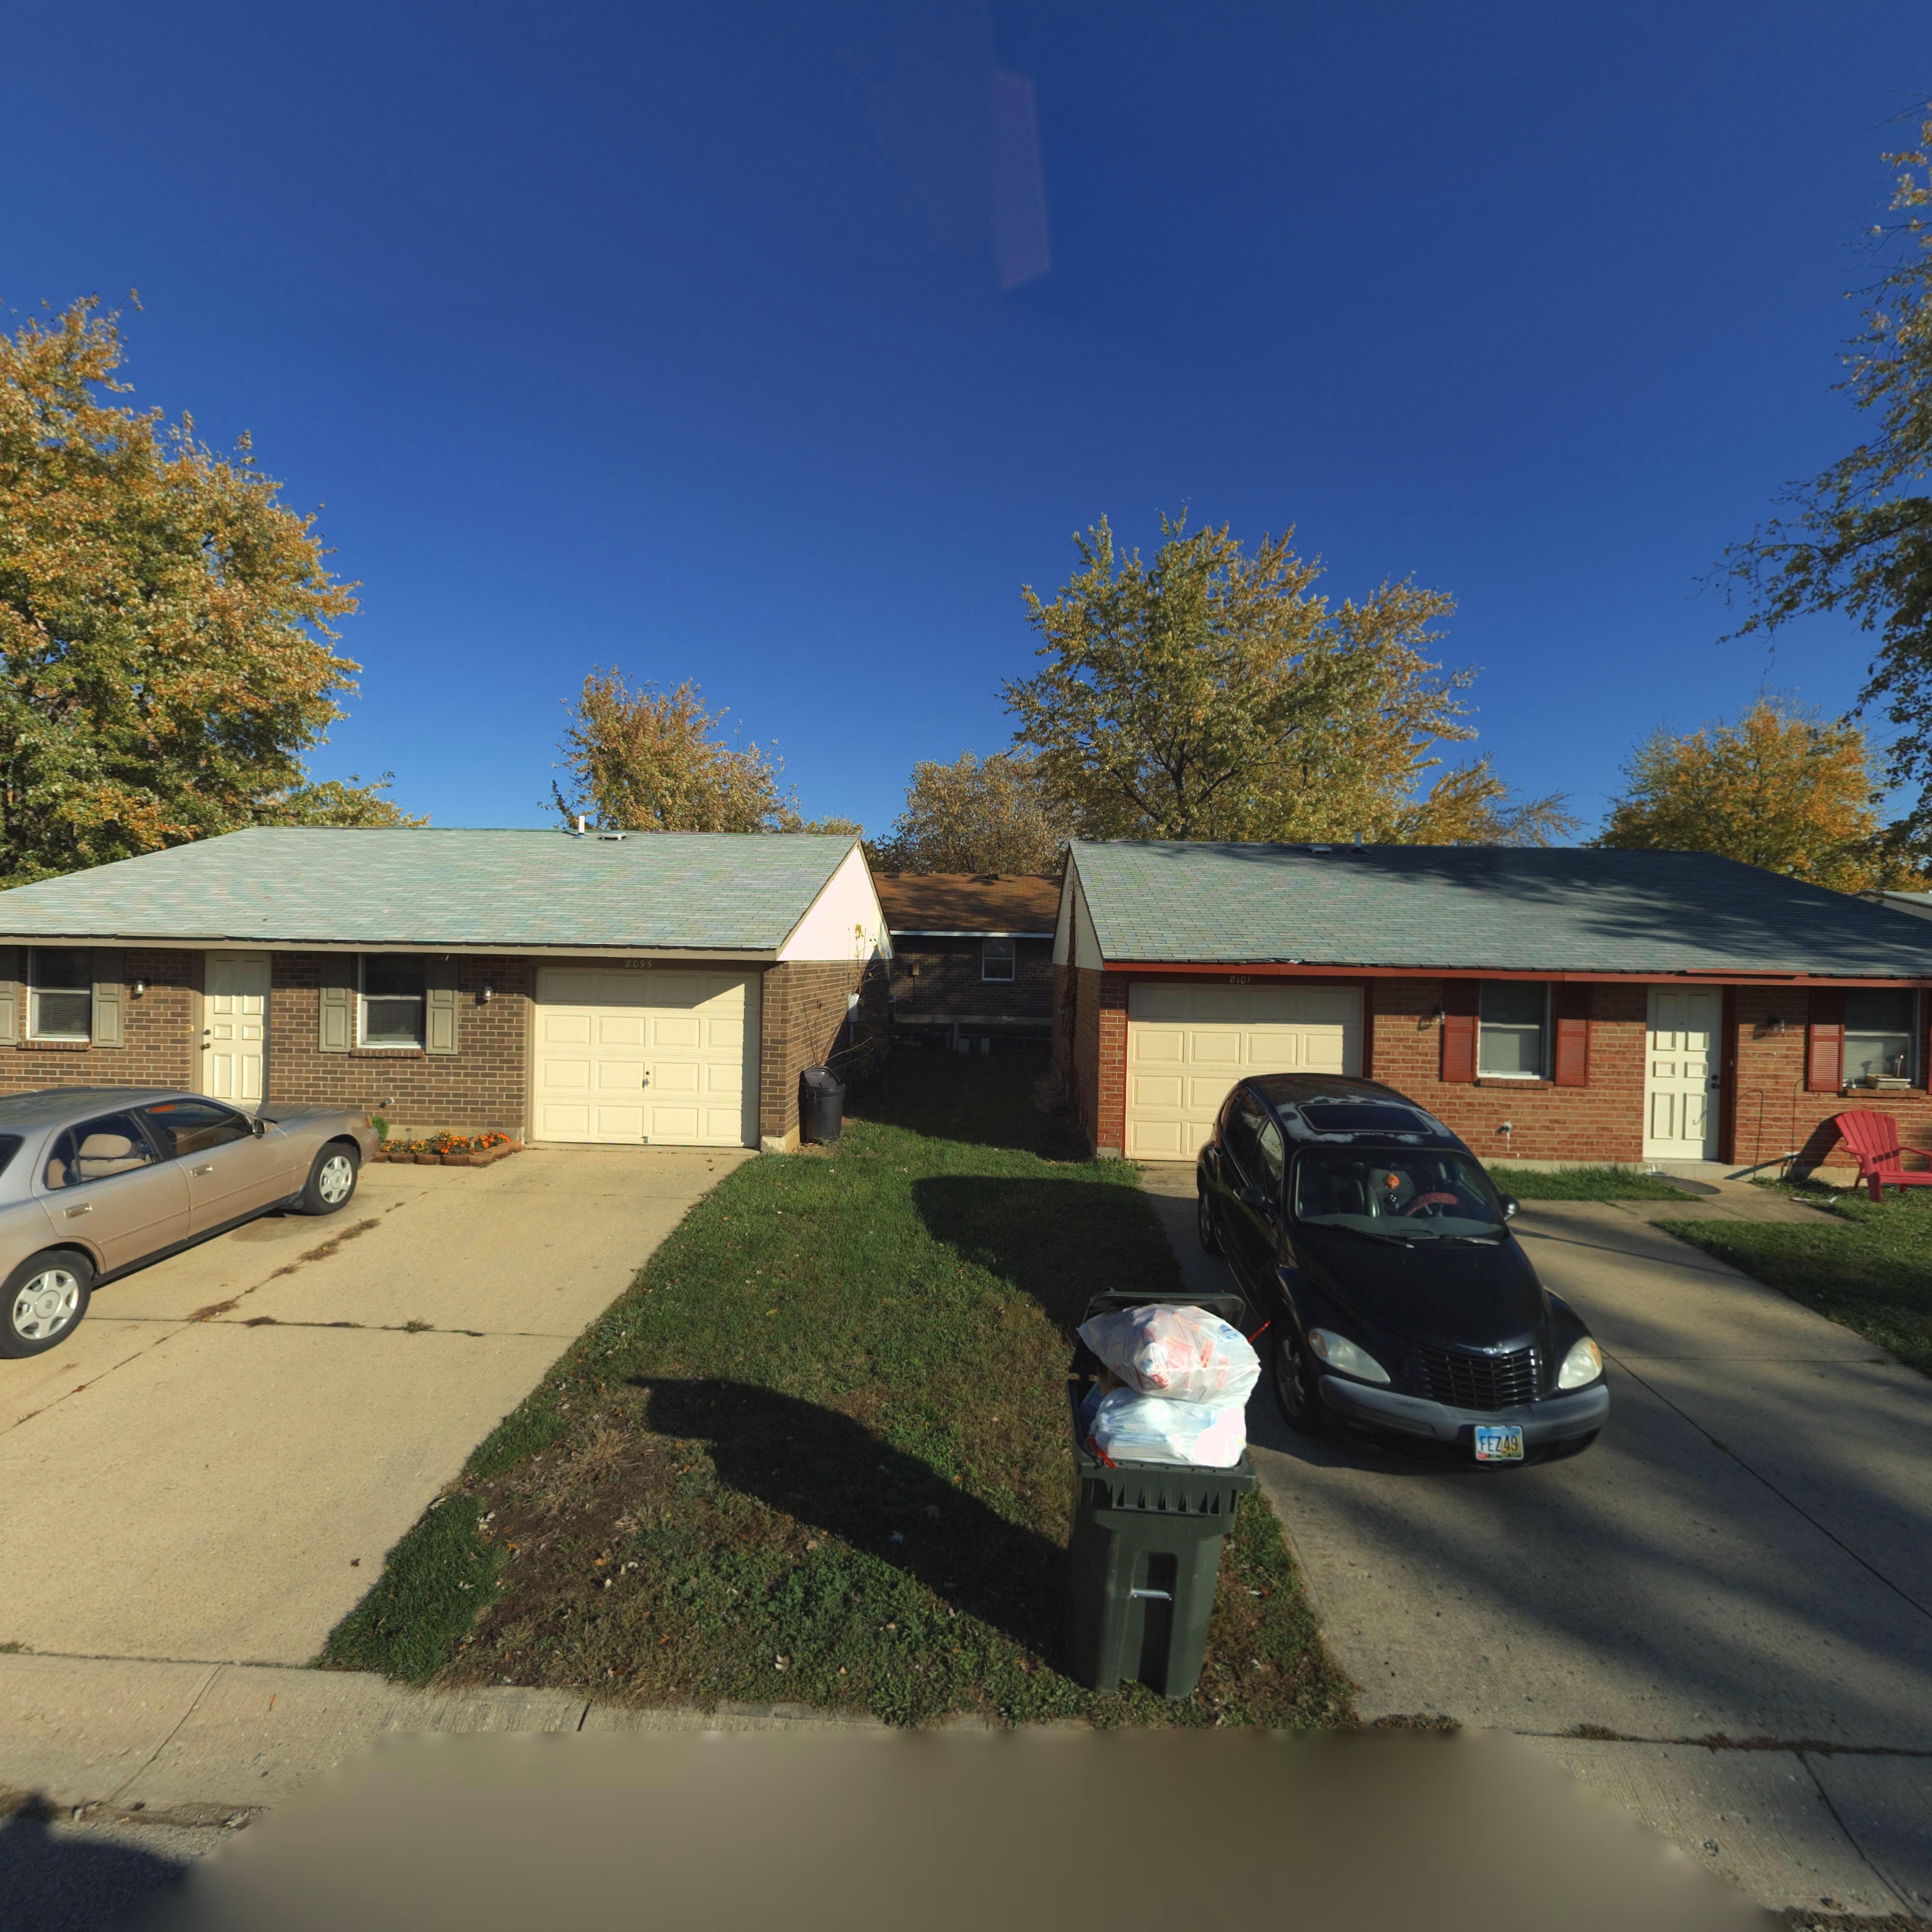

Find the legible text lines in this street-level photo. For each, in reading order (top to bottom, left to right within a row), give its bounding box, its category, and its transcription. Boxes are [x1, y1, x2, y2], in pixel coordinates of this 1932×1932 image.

[624, 958, 653, 969] StreetNumber: 8095
[1229, 974, 1252, 985] StreetNumber: 8101